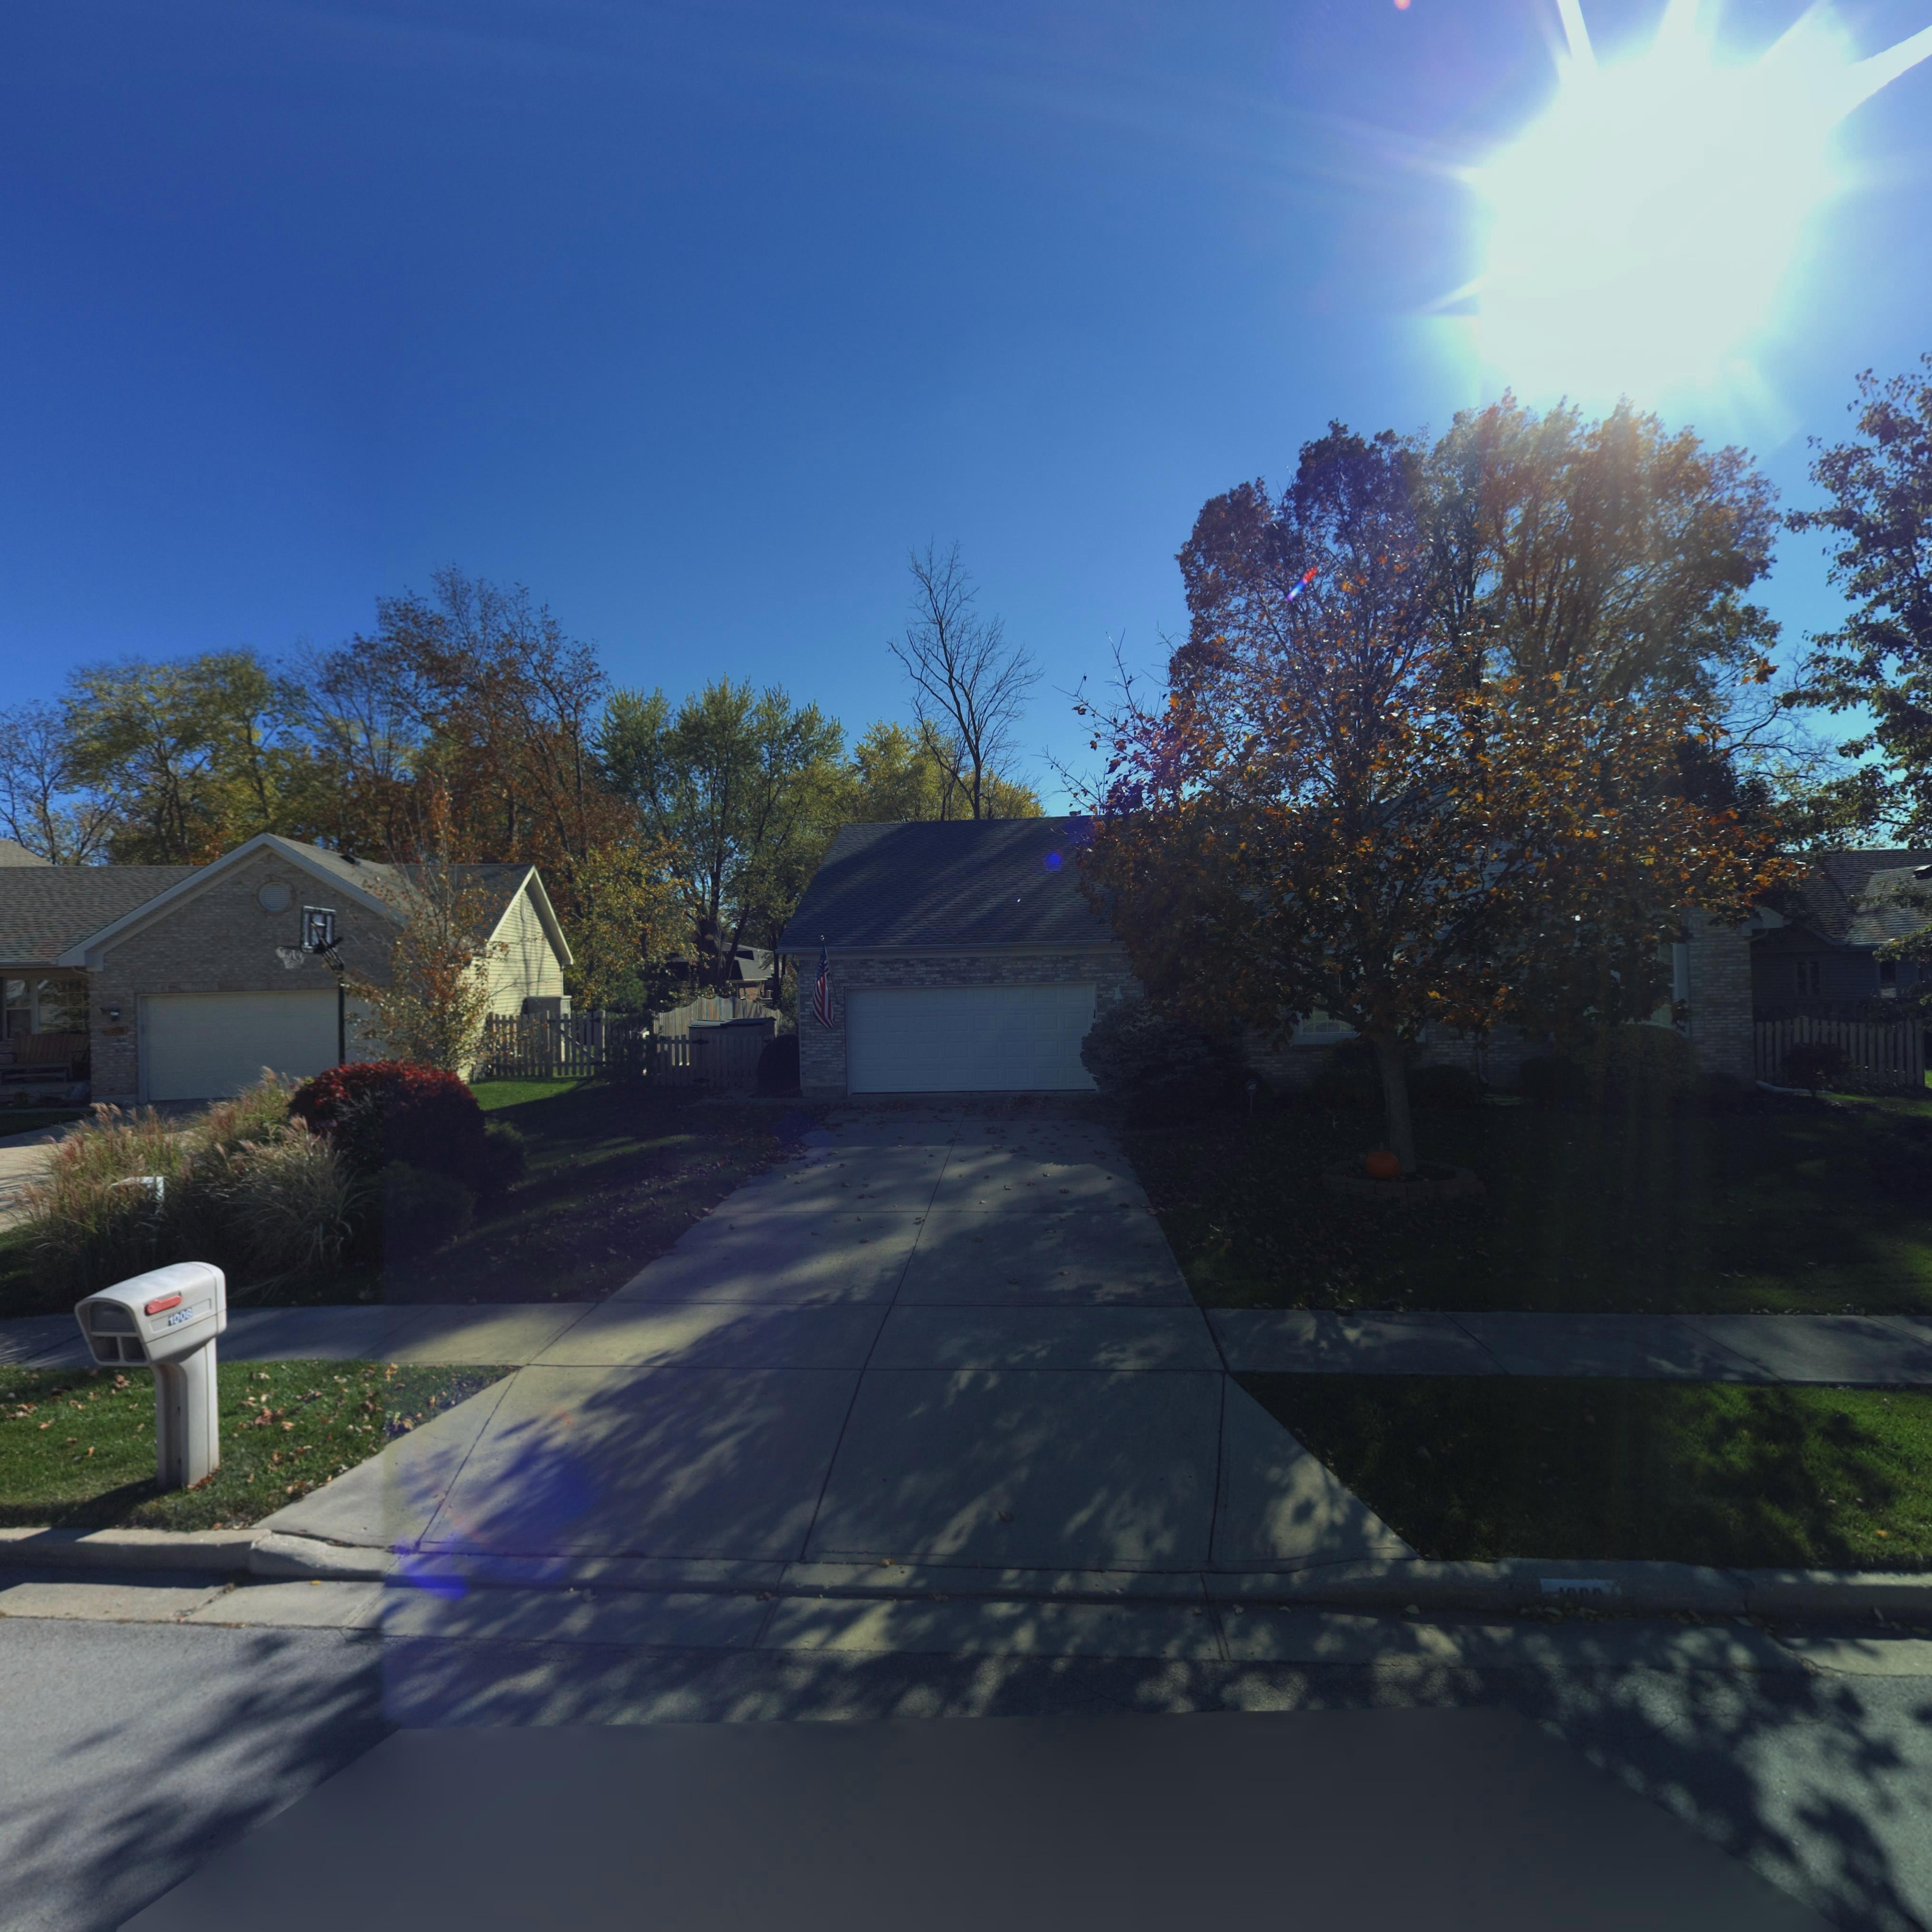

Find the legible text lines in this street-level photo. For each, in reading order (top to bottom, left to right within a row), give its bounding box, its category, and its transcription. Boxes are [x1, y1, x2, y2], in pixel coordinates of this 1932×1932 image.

[106, 1027, 125, 1035] StreetNumber: *004
[168, 1306, 193, 1326] StreetNumber: 1006